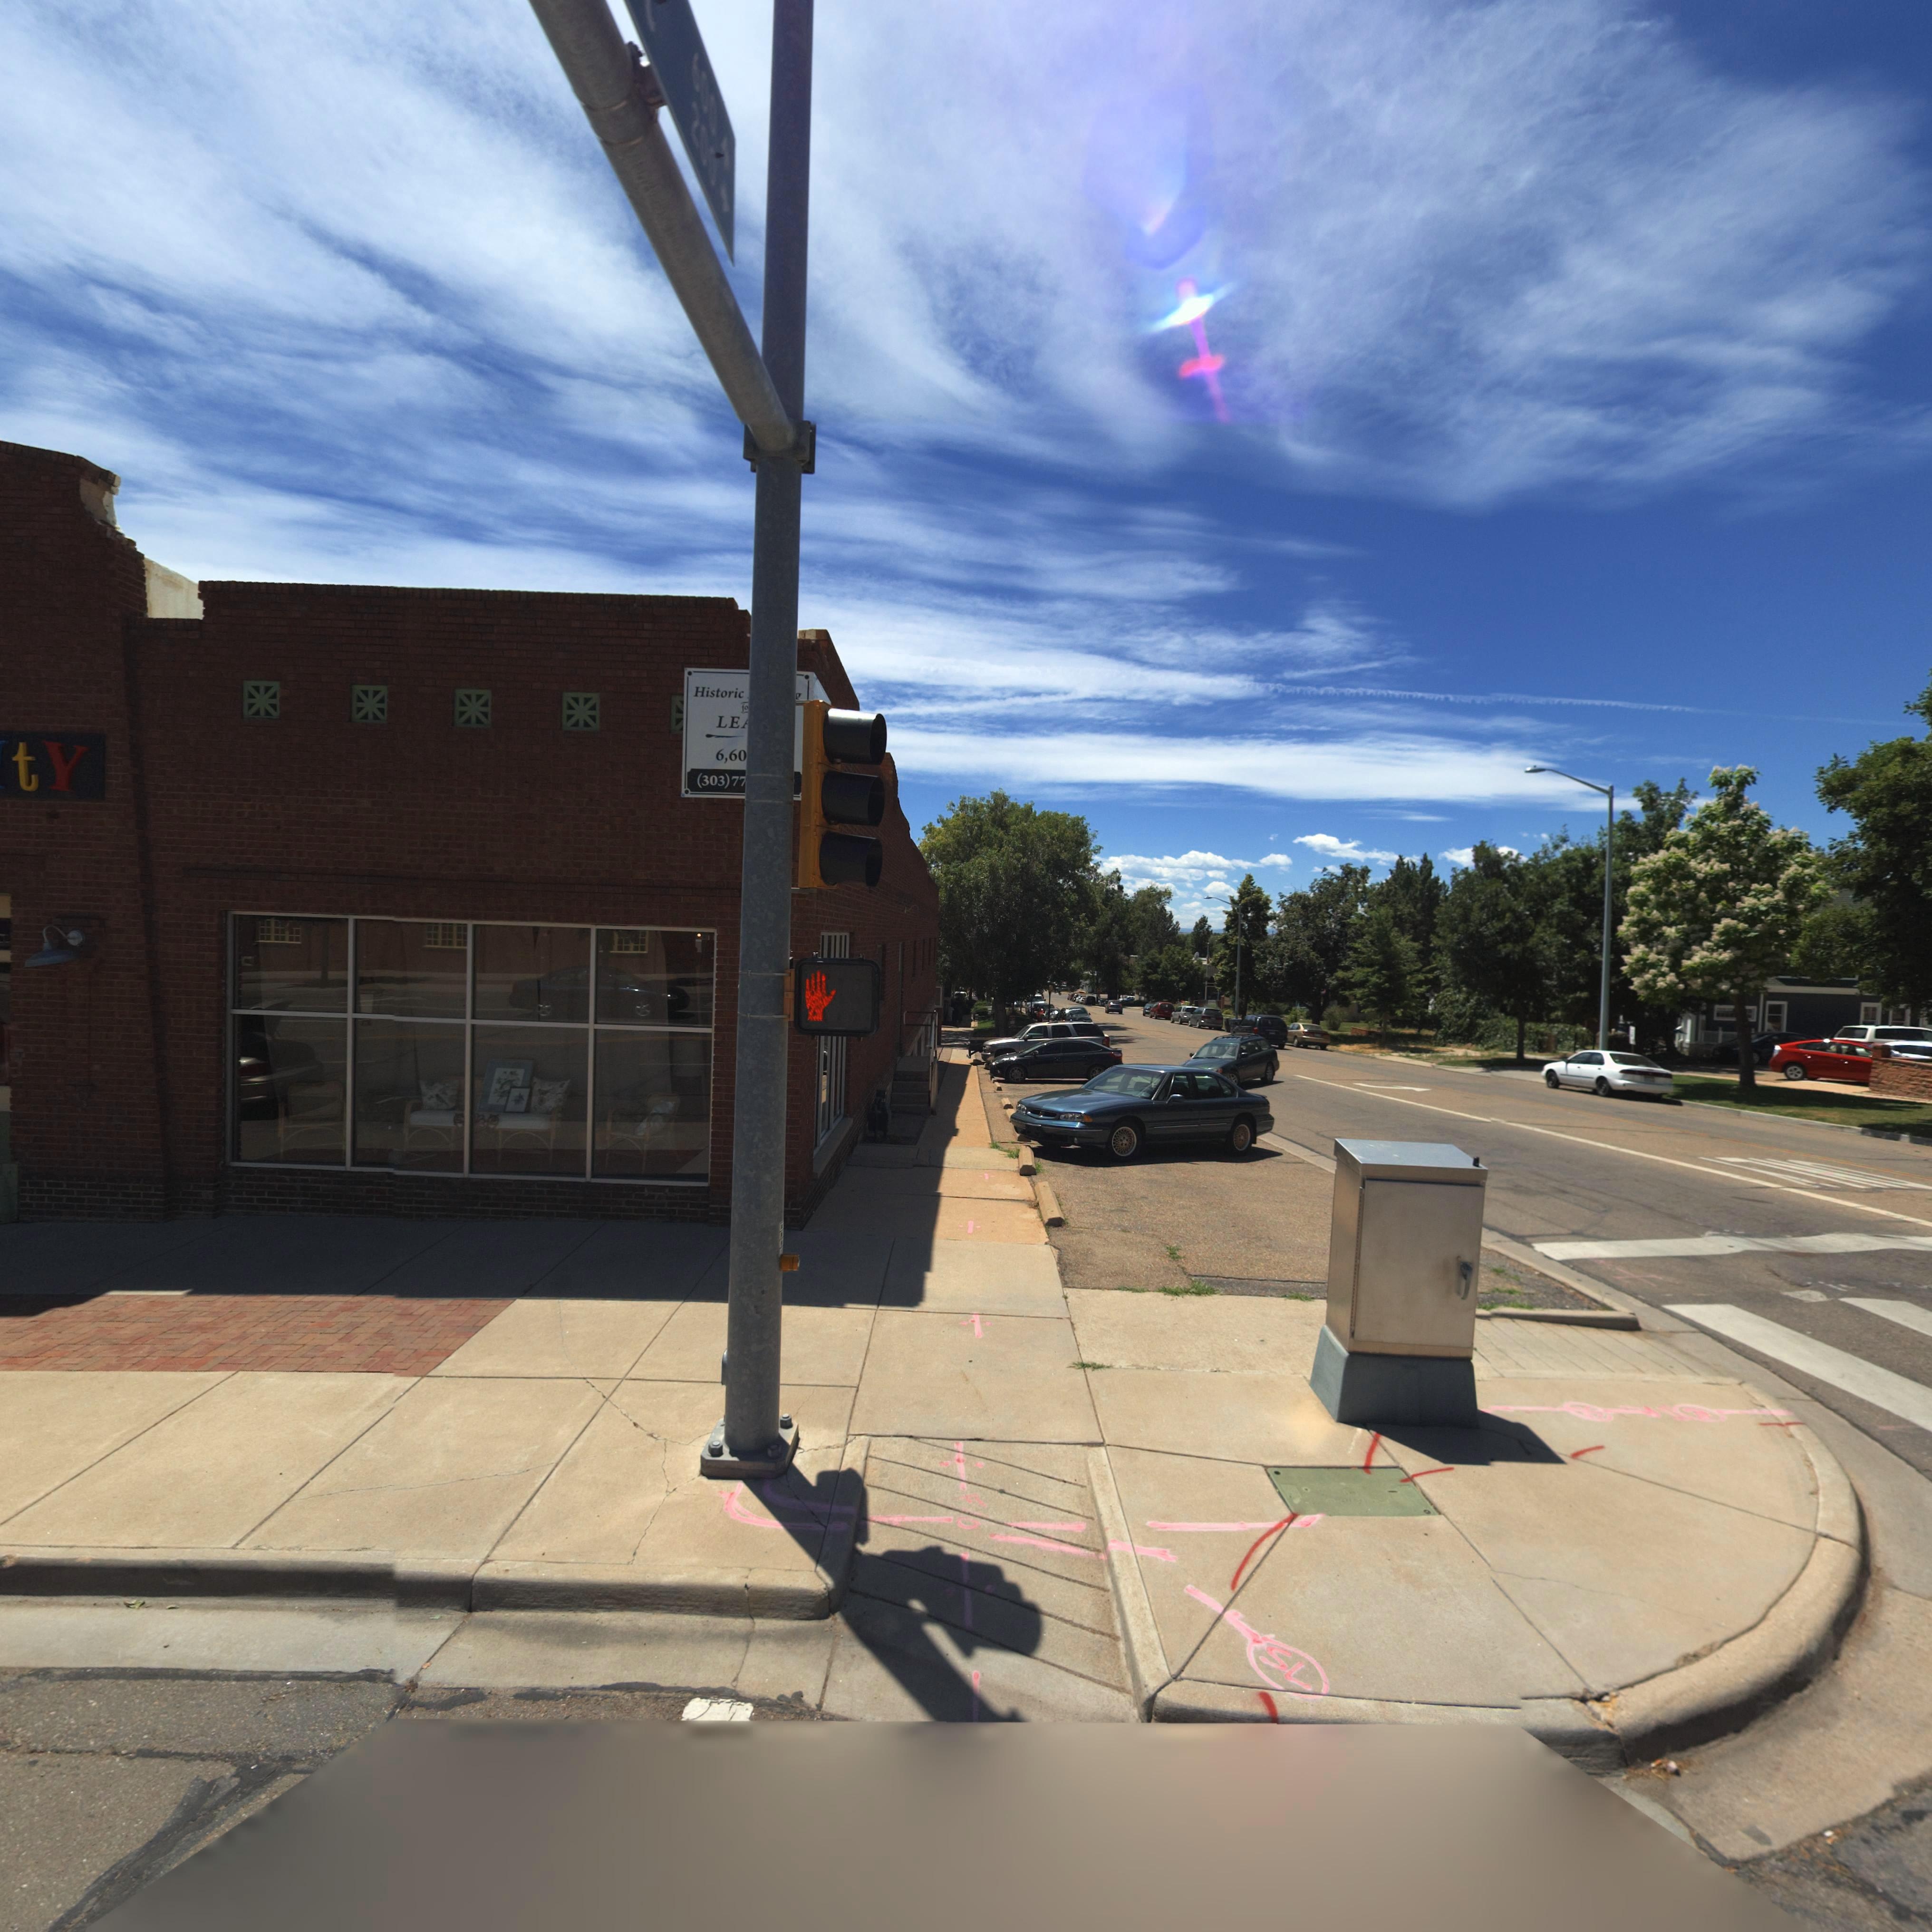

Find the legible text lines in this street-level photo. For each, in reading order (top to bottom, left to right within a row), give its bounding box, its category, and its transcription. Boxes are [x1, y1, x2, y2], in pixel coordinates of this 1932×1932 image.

[10, 738, 91, 794] BusinessName: tY